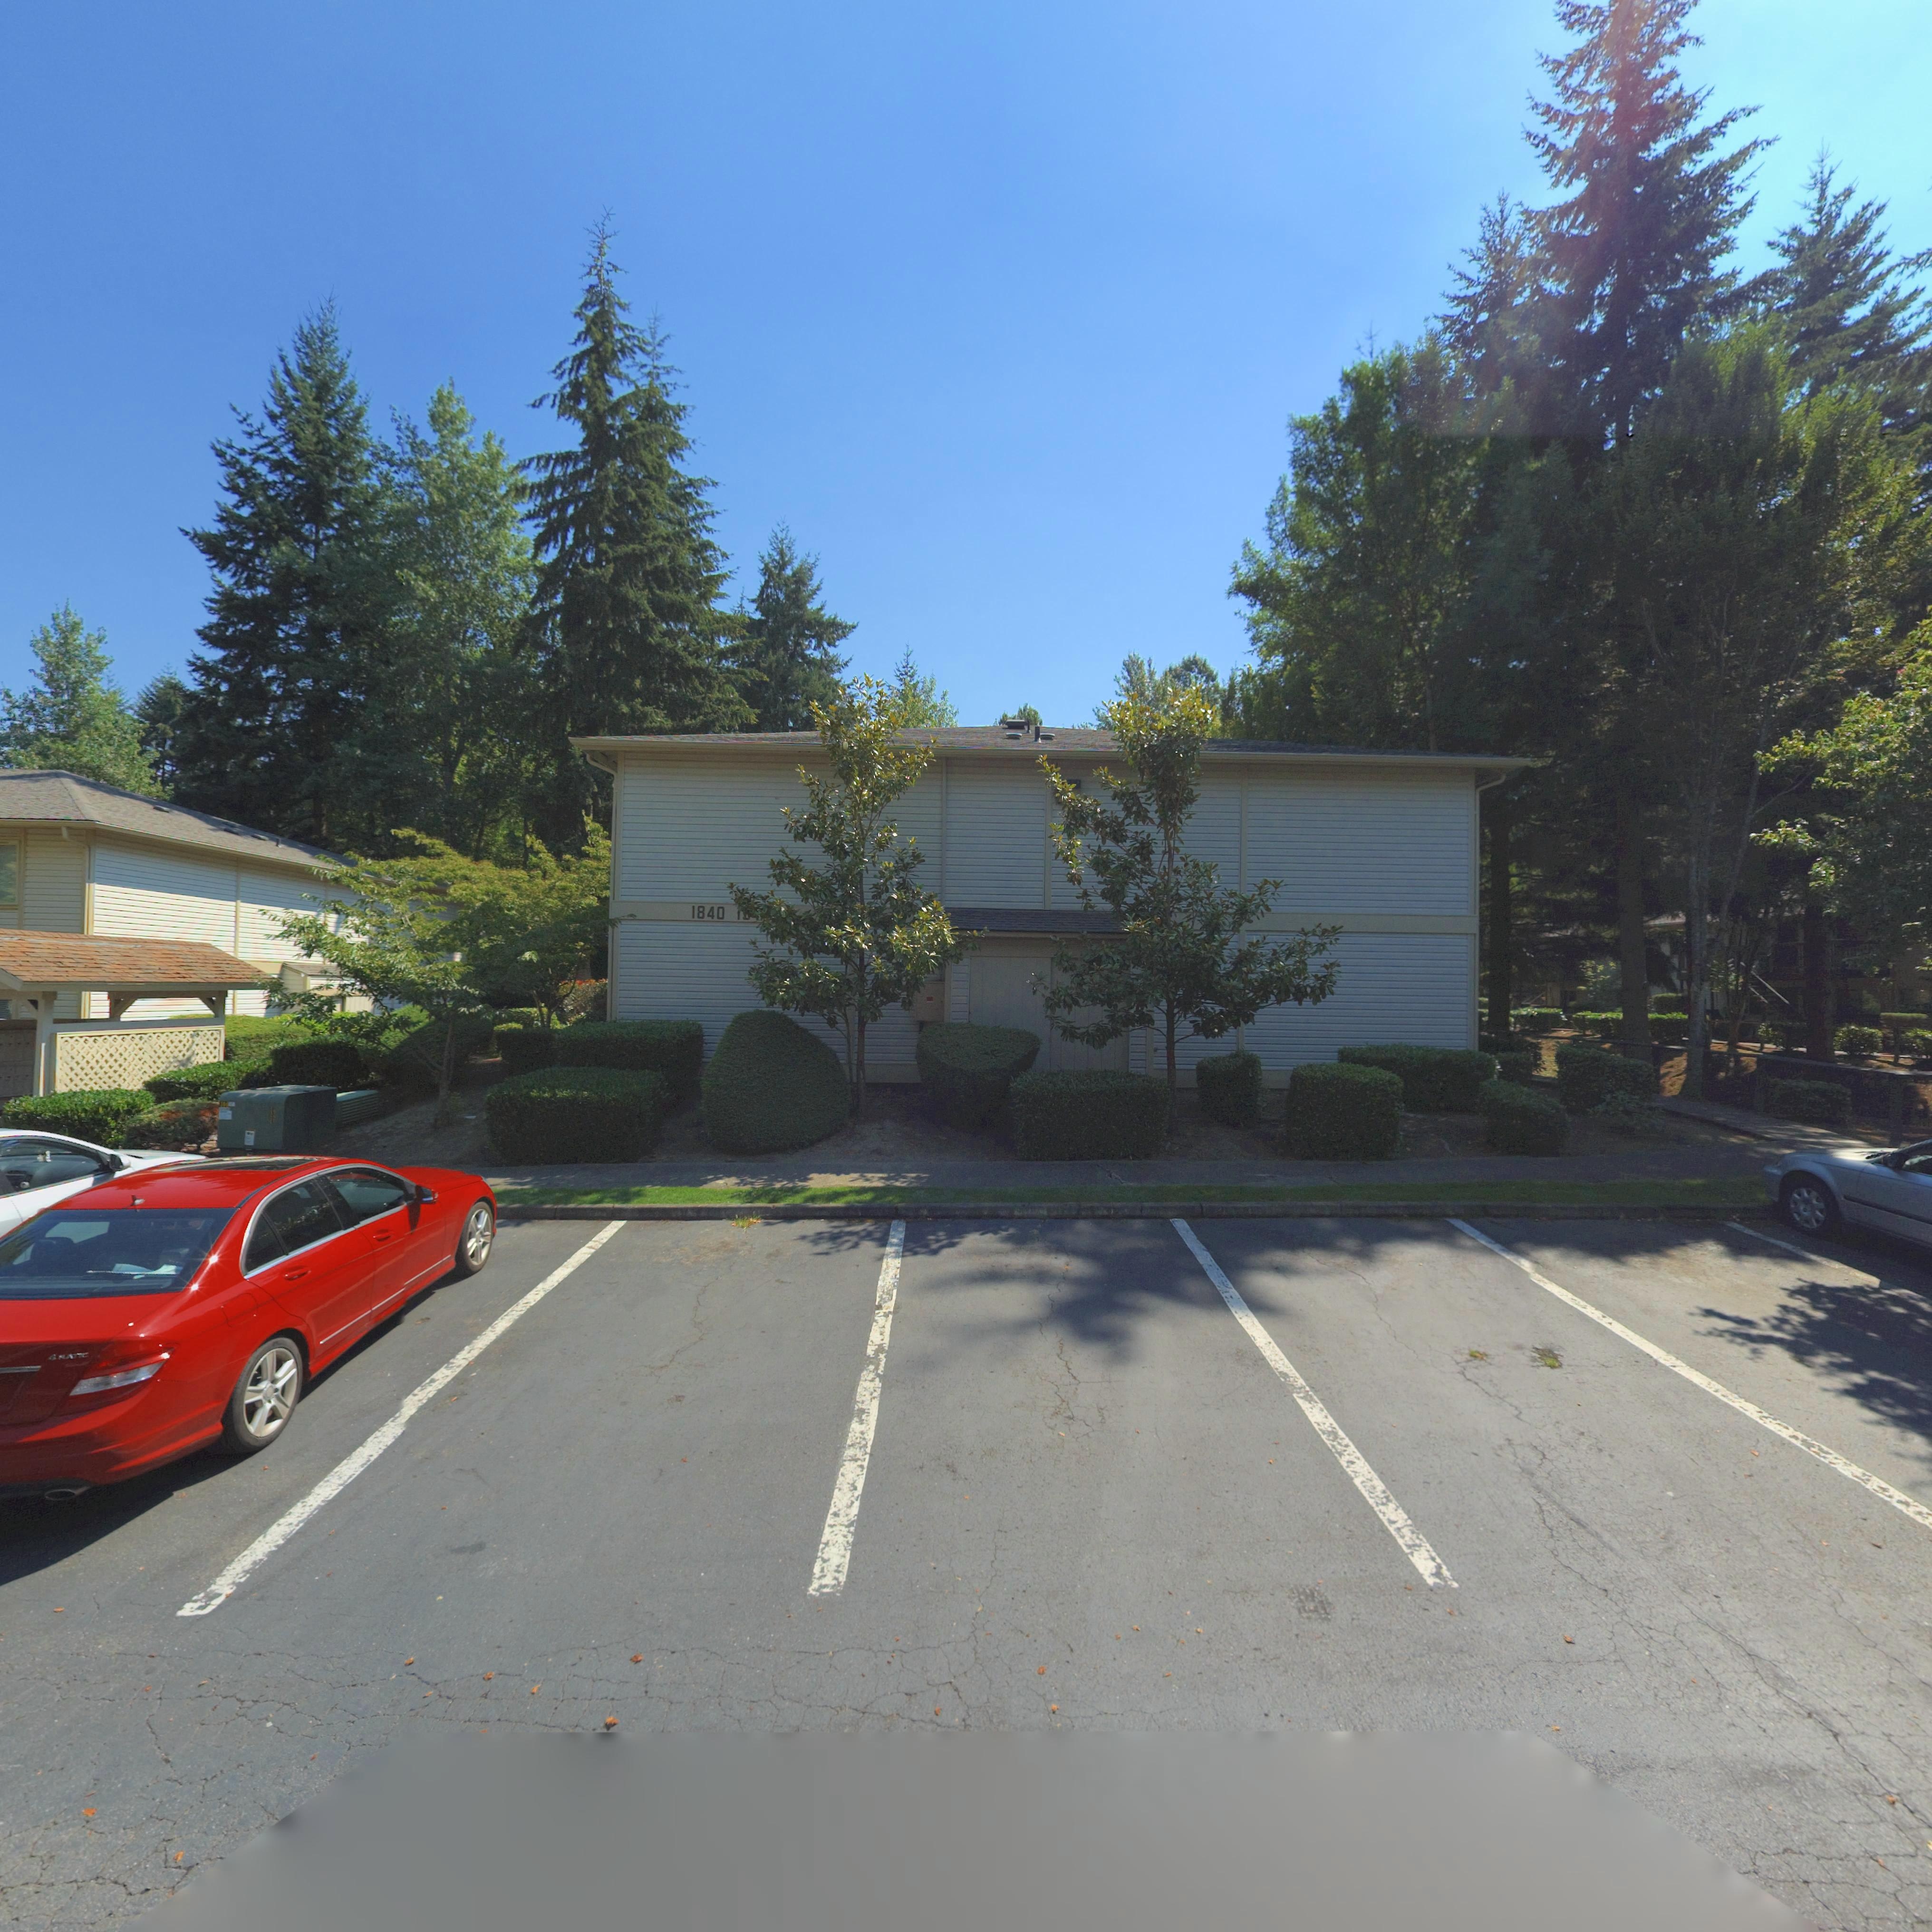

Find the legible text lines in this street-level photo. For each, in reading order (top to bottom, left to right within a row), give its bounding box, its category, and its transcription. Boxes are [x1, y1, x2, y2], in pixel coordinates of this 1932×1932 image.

[690, 904, 725, 921] StreetNumber: 1840